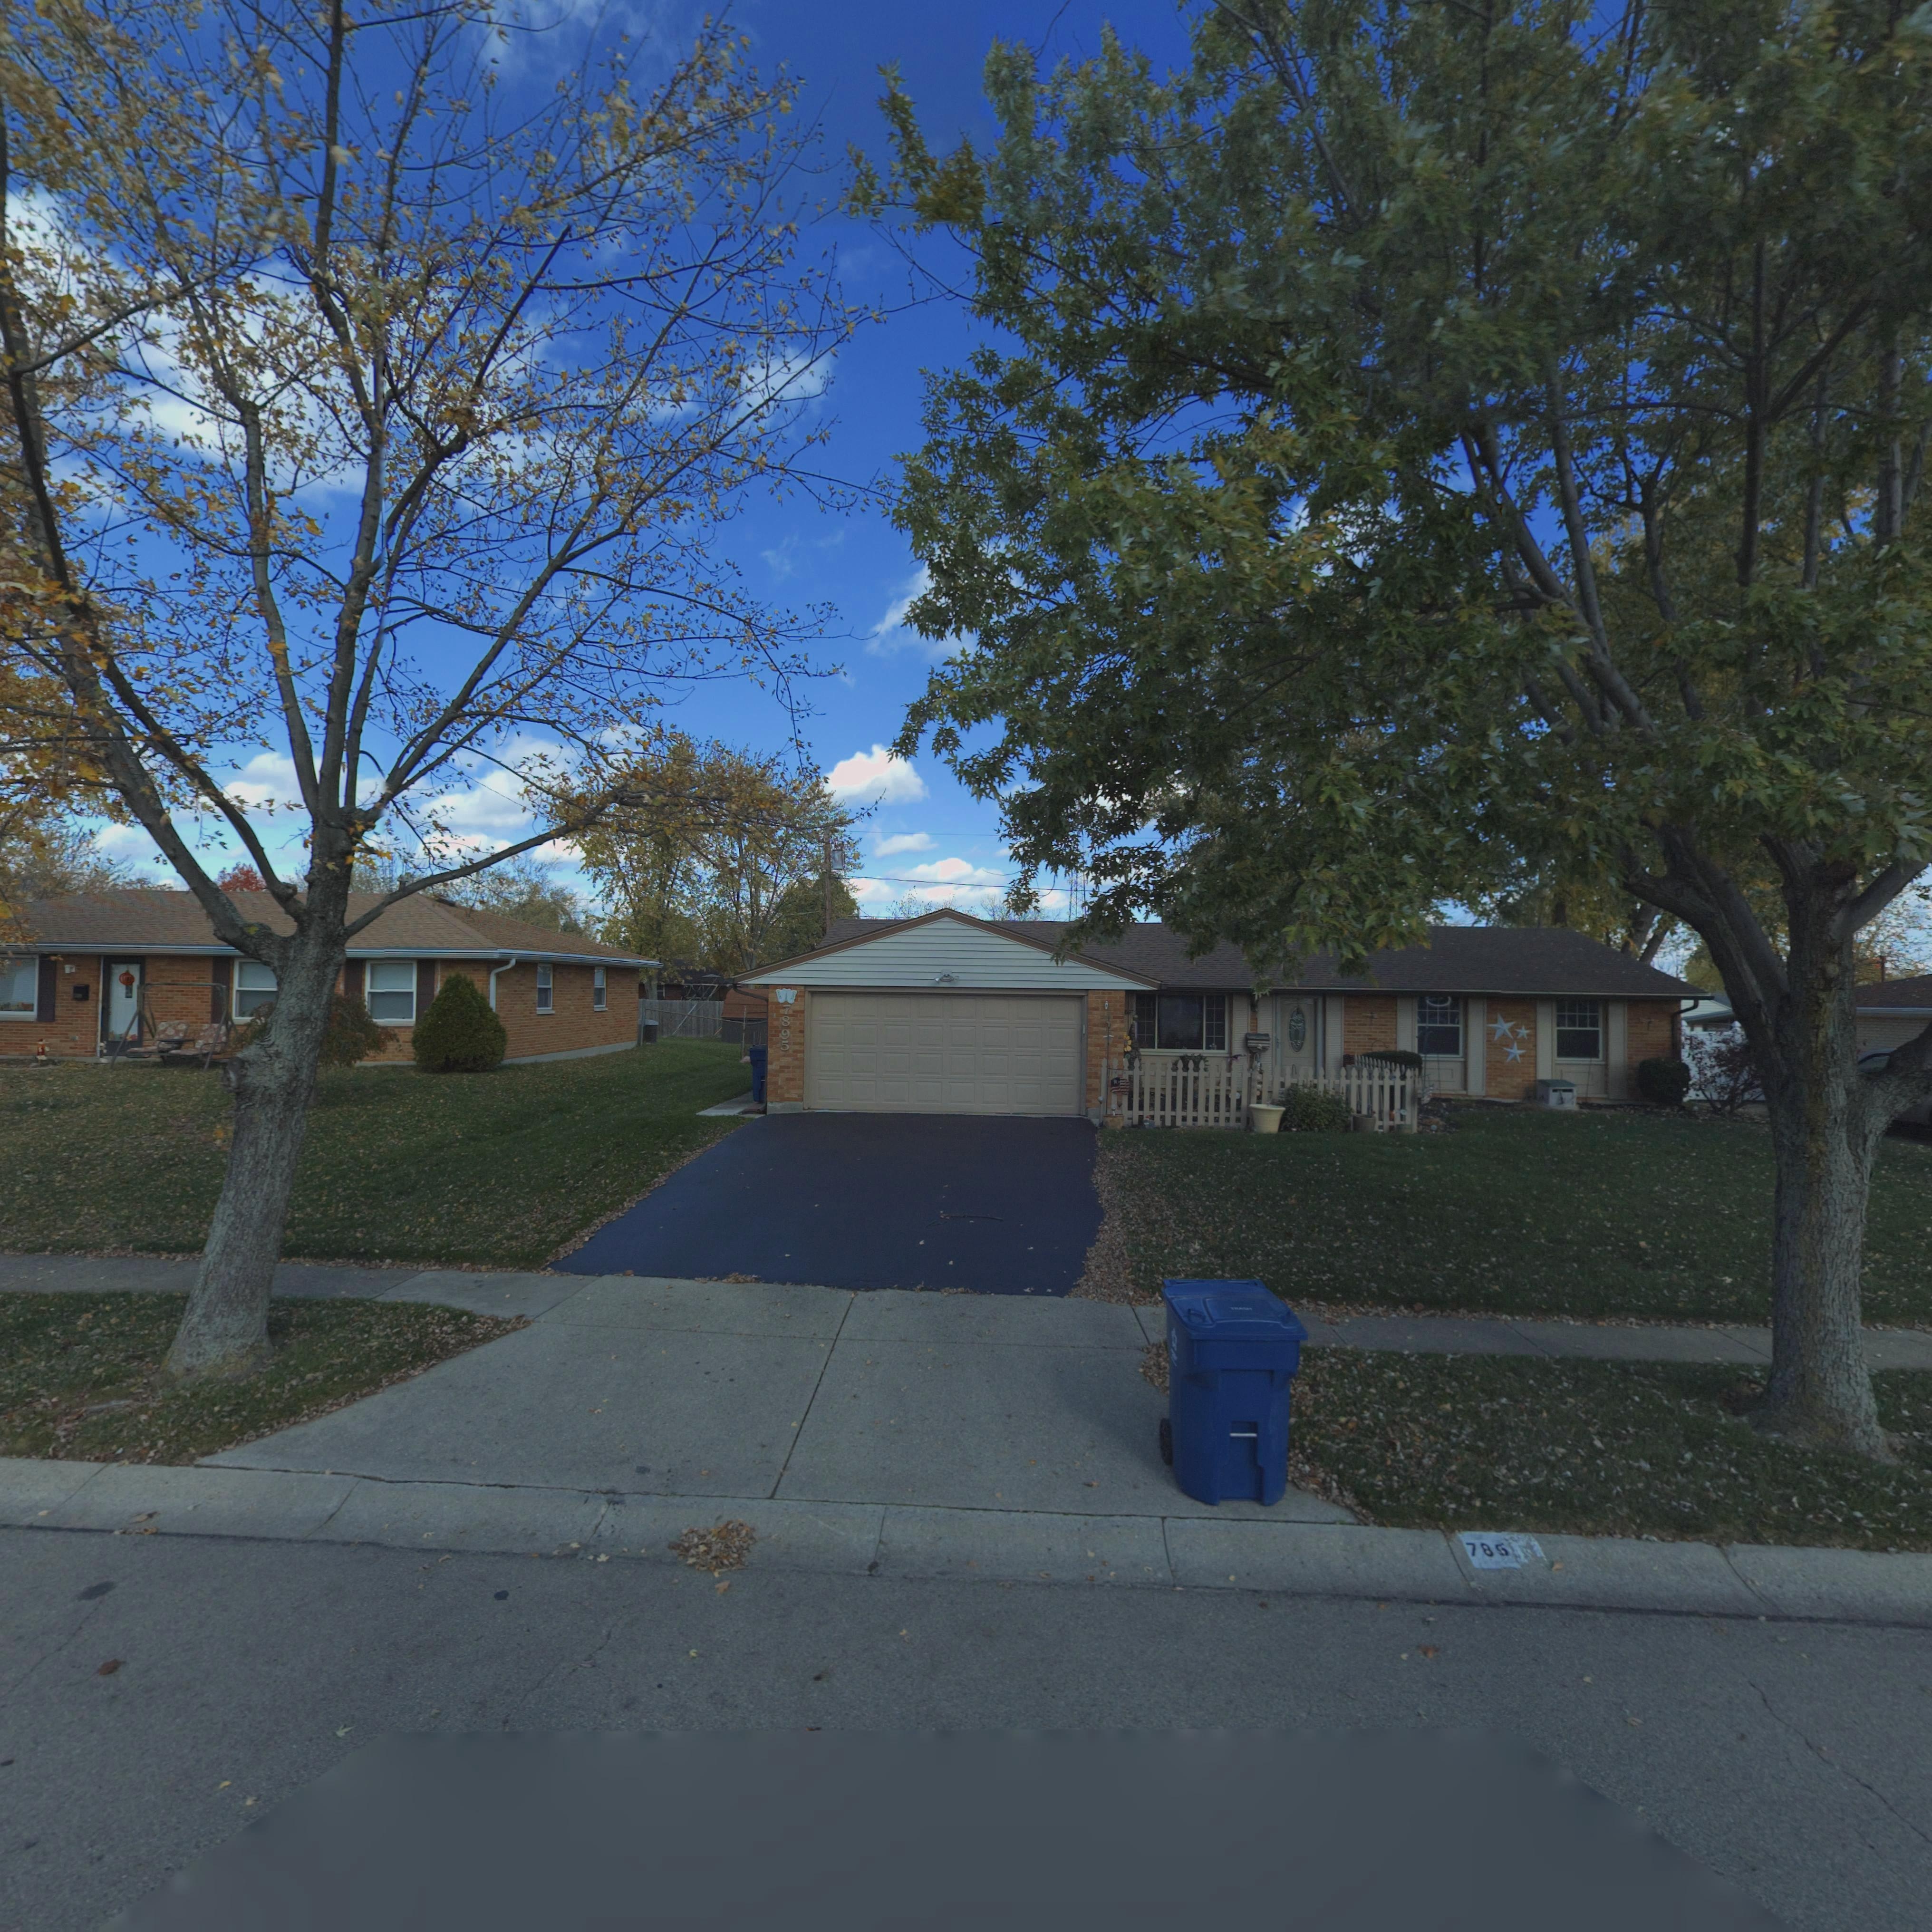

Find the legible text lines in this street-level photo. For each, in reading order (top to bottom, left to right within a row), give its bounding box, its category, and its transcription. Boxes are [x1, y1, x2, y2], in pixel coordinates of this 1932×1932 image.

[73, 993, 83, 998] StreetNumber: 7**9
[780, 1004, 792, 1052] StreetNumber: 7895
[1465, 1541, 1511, 1558] StreetNumber: 785